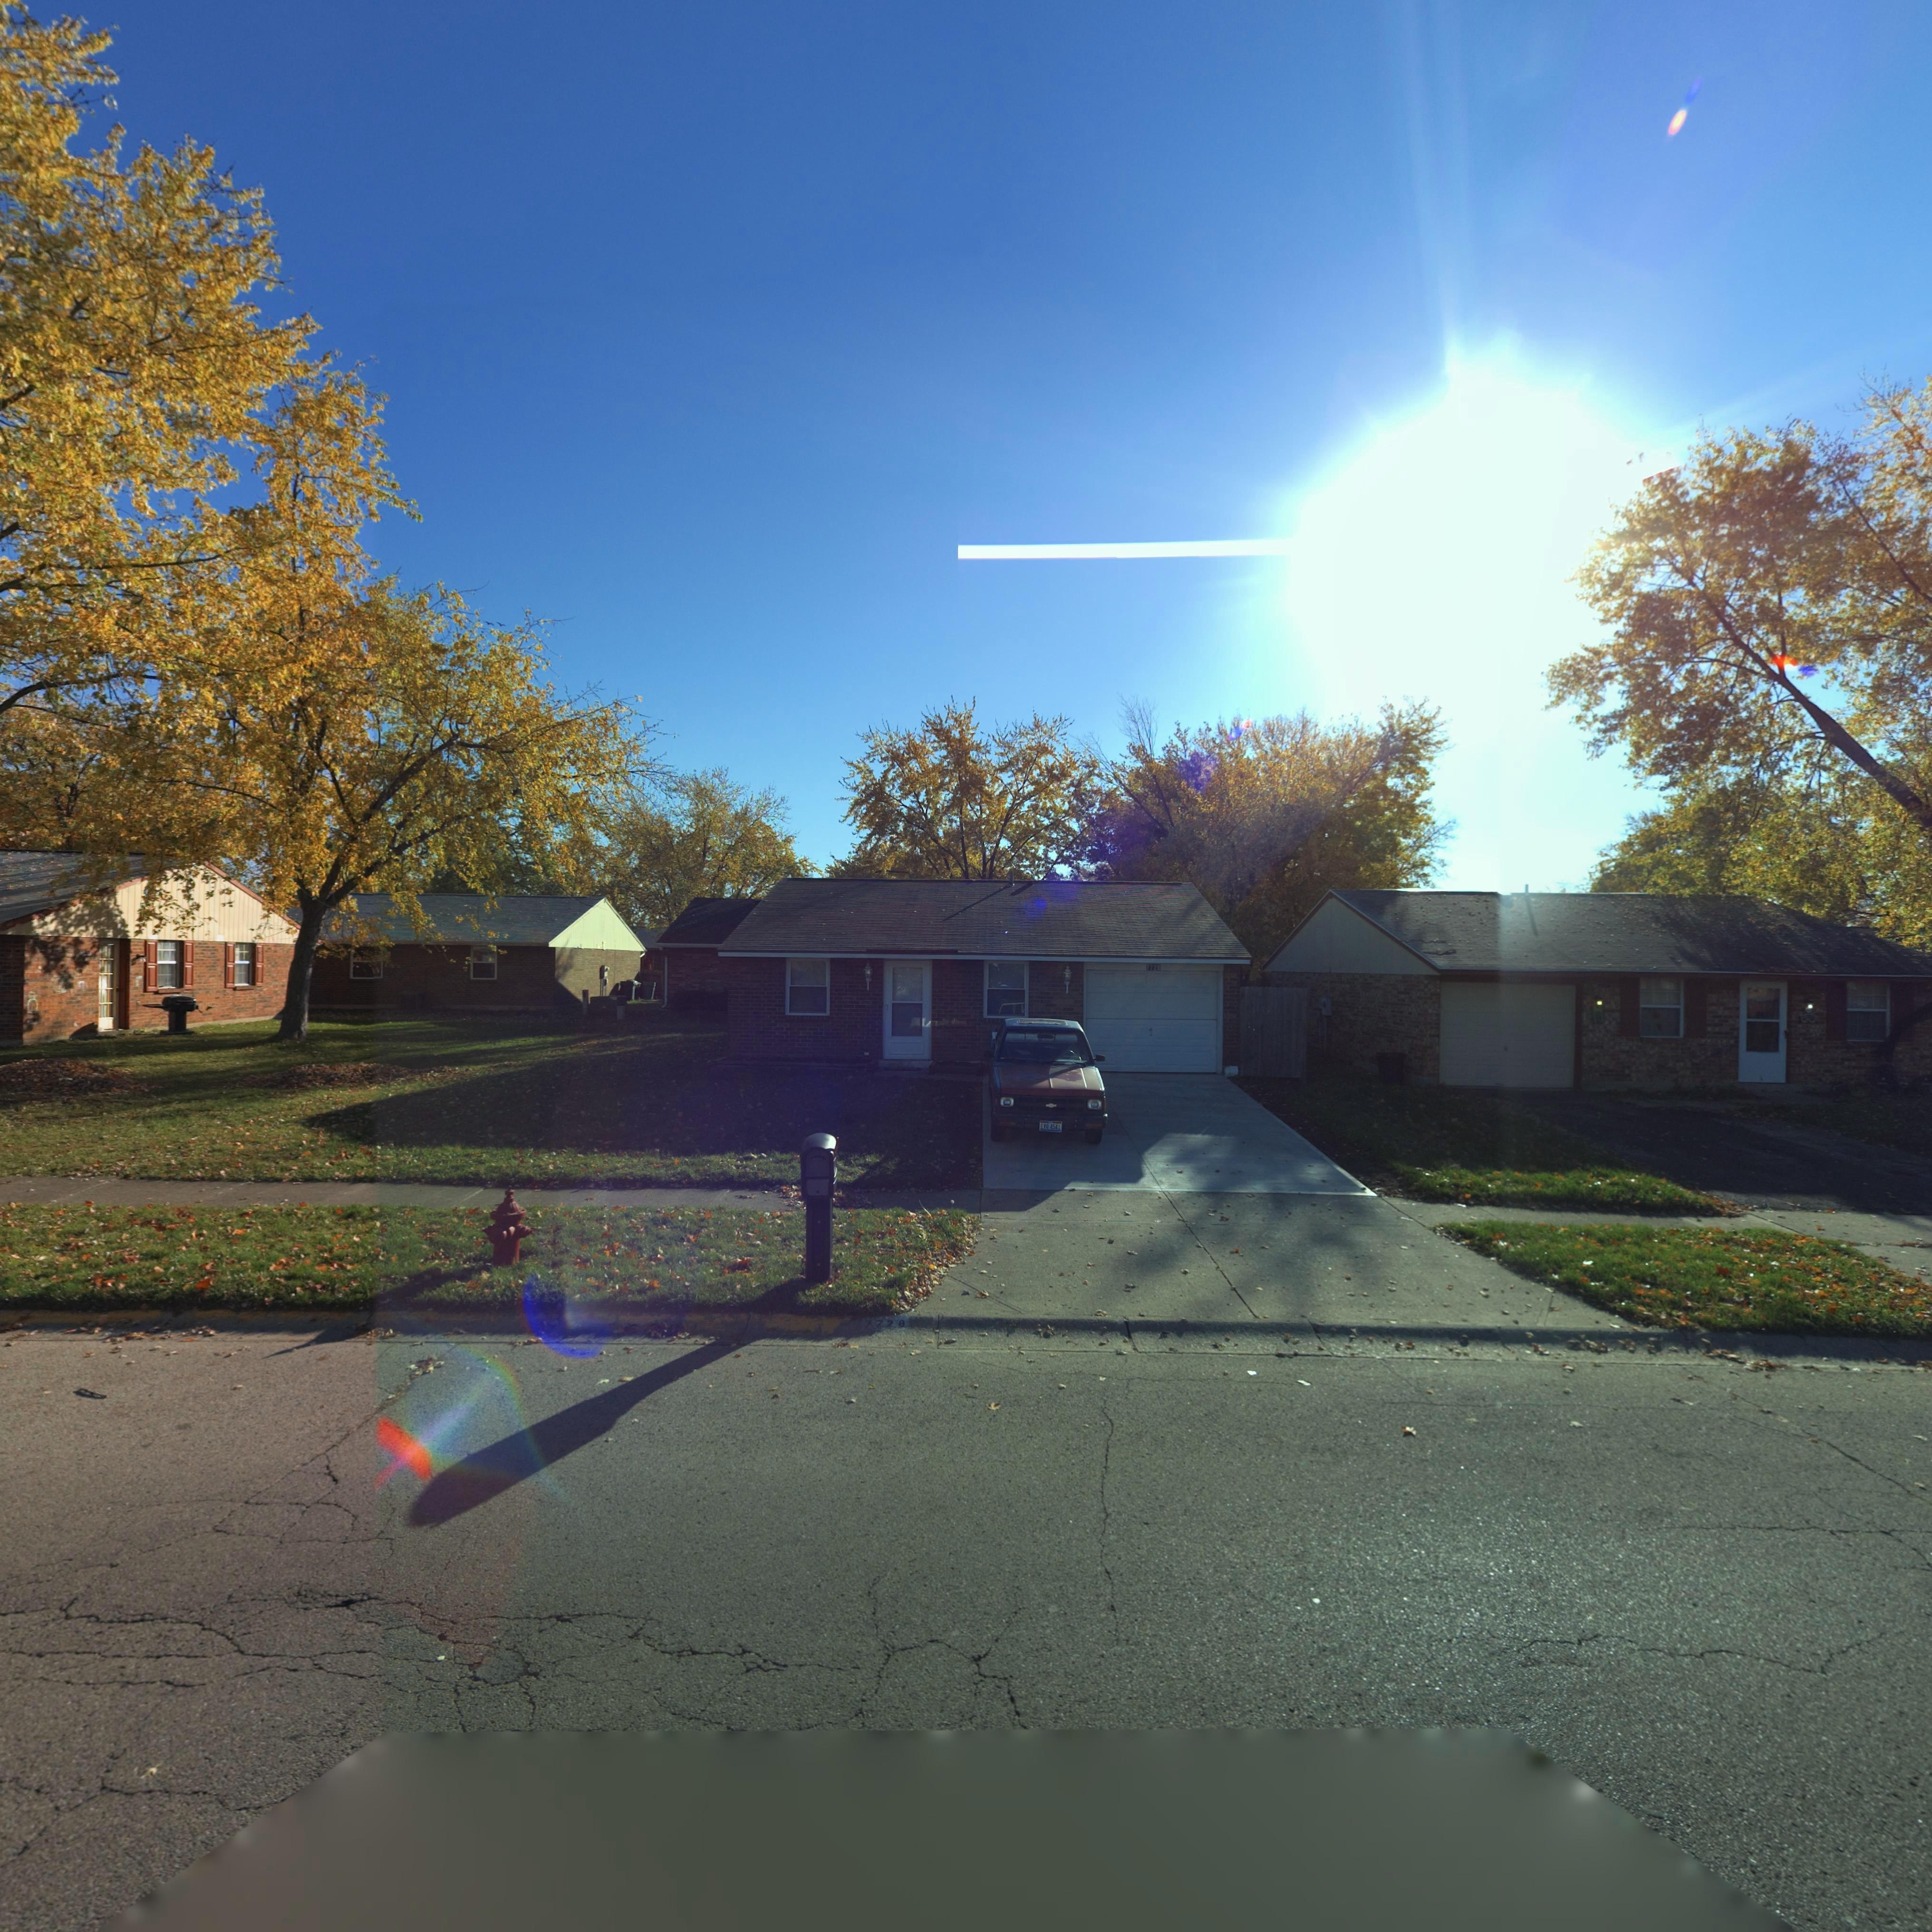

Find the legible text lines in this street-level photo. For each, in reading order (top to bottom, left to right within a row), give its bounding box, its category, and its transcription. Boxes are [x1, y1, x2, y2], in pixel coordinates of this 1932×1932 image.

[1145, 964, 1162, 972] StreetNumber: 772*
[863, 1318, 907, 1331] StreetNumber: *7*8